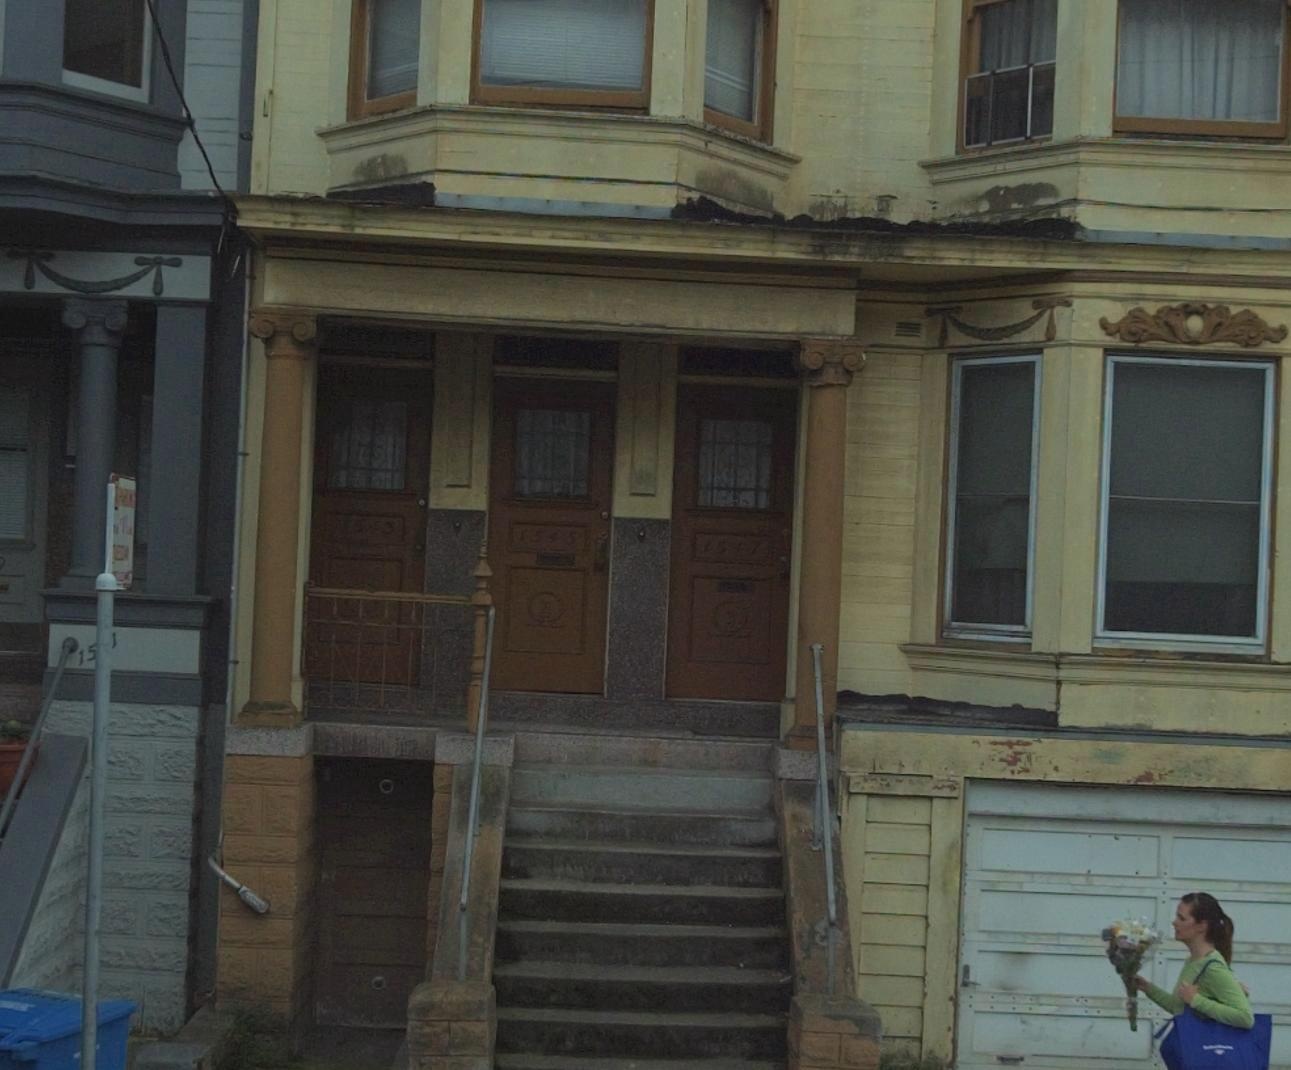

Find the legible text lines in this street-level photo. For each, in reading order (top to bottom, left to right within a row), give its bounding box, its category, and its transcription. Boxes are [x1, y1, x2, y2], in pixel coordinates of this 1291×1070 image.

[343, 518, 396, 536] StreetNumber: *543
[518, 529, 578, 548] StreetNumber: 1545
[704, 539, 761, 557] StreetNumber: 1547
[78, 629, 119, 667] StreetNumber: 15*1